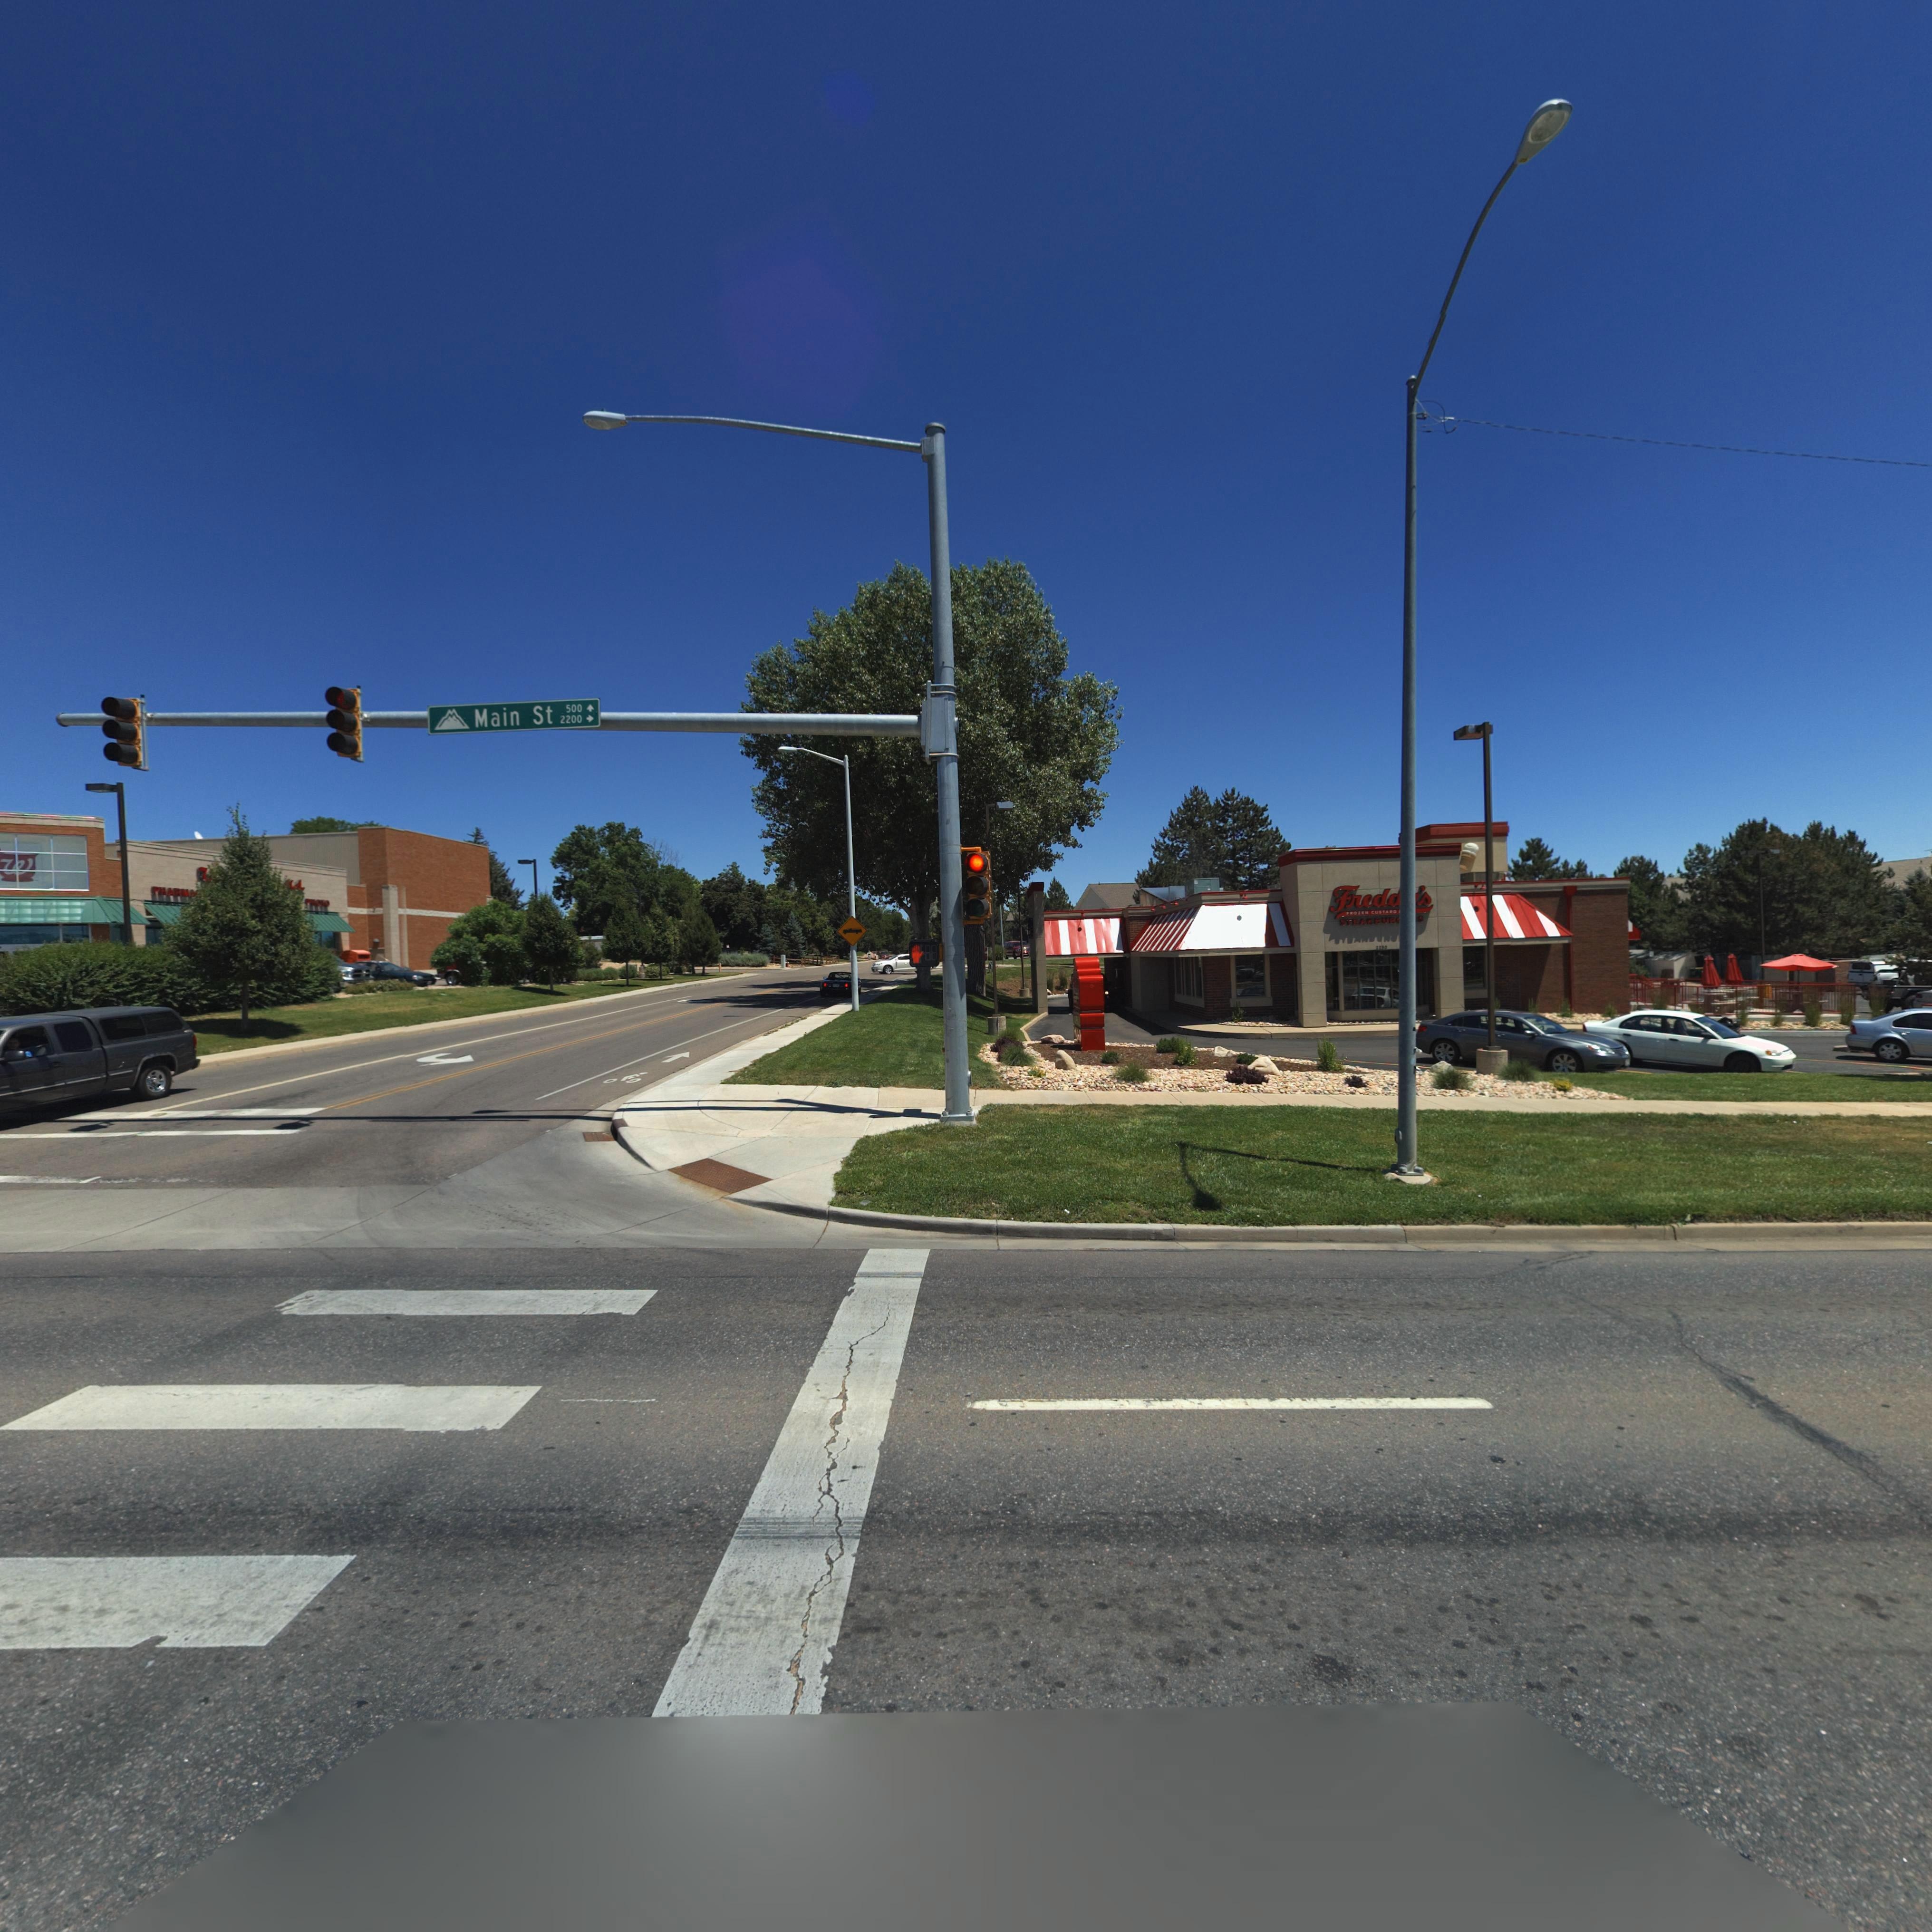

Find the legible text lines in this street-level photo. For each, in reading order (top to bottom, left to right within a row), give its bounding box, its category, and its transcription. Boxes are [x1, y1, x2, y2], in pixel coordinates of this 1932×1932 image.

[565, 703, 582, 713] StreetNumberRange: 500
[473, 704, 553, 728] StreetName: Main St
[560, 714, 595, 724] StreetNumberRange: 2200->
[1328, 884, 1432, 914] BusinessName: Freddy's
[1375, 945, 1387, 949] BusinessName: 2*8*